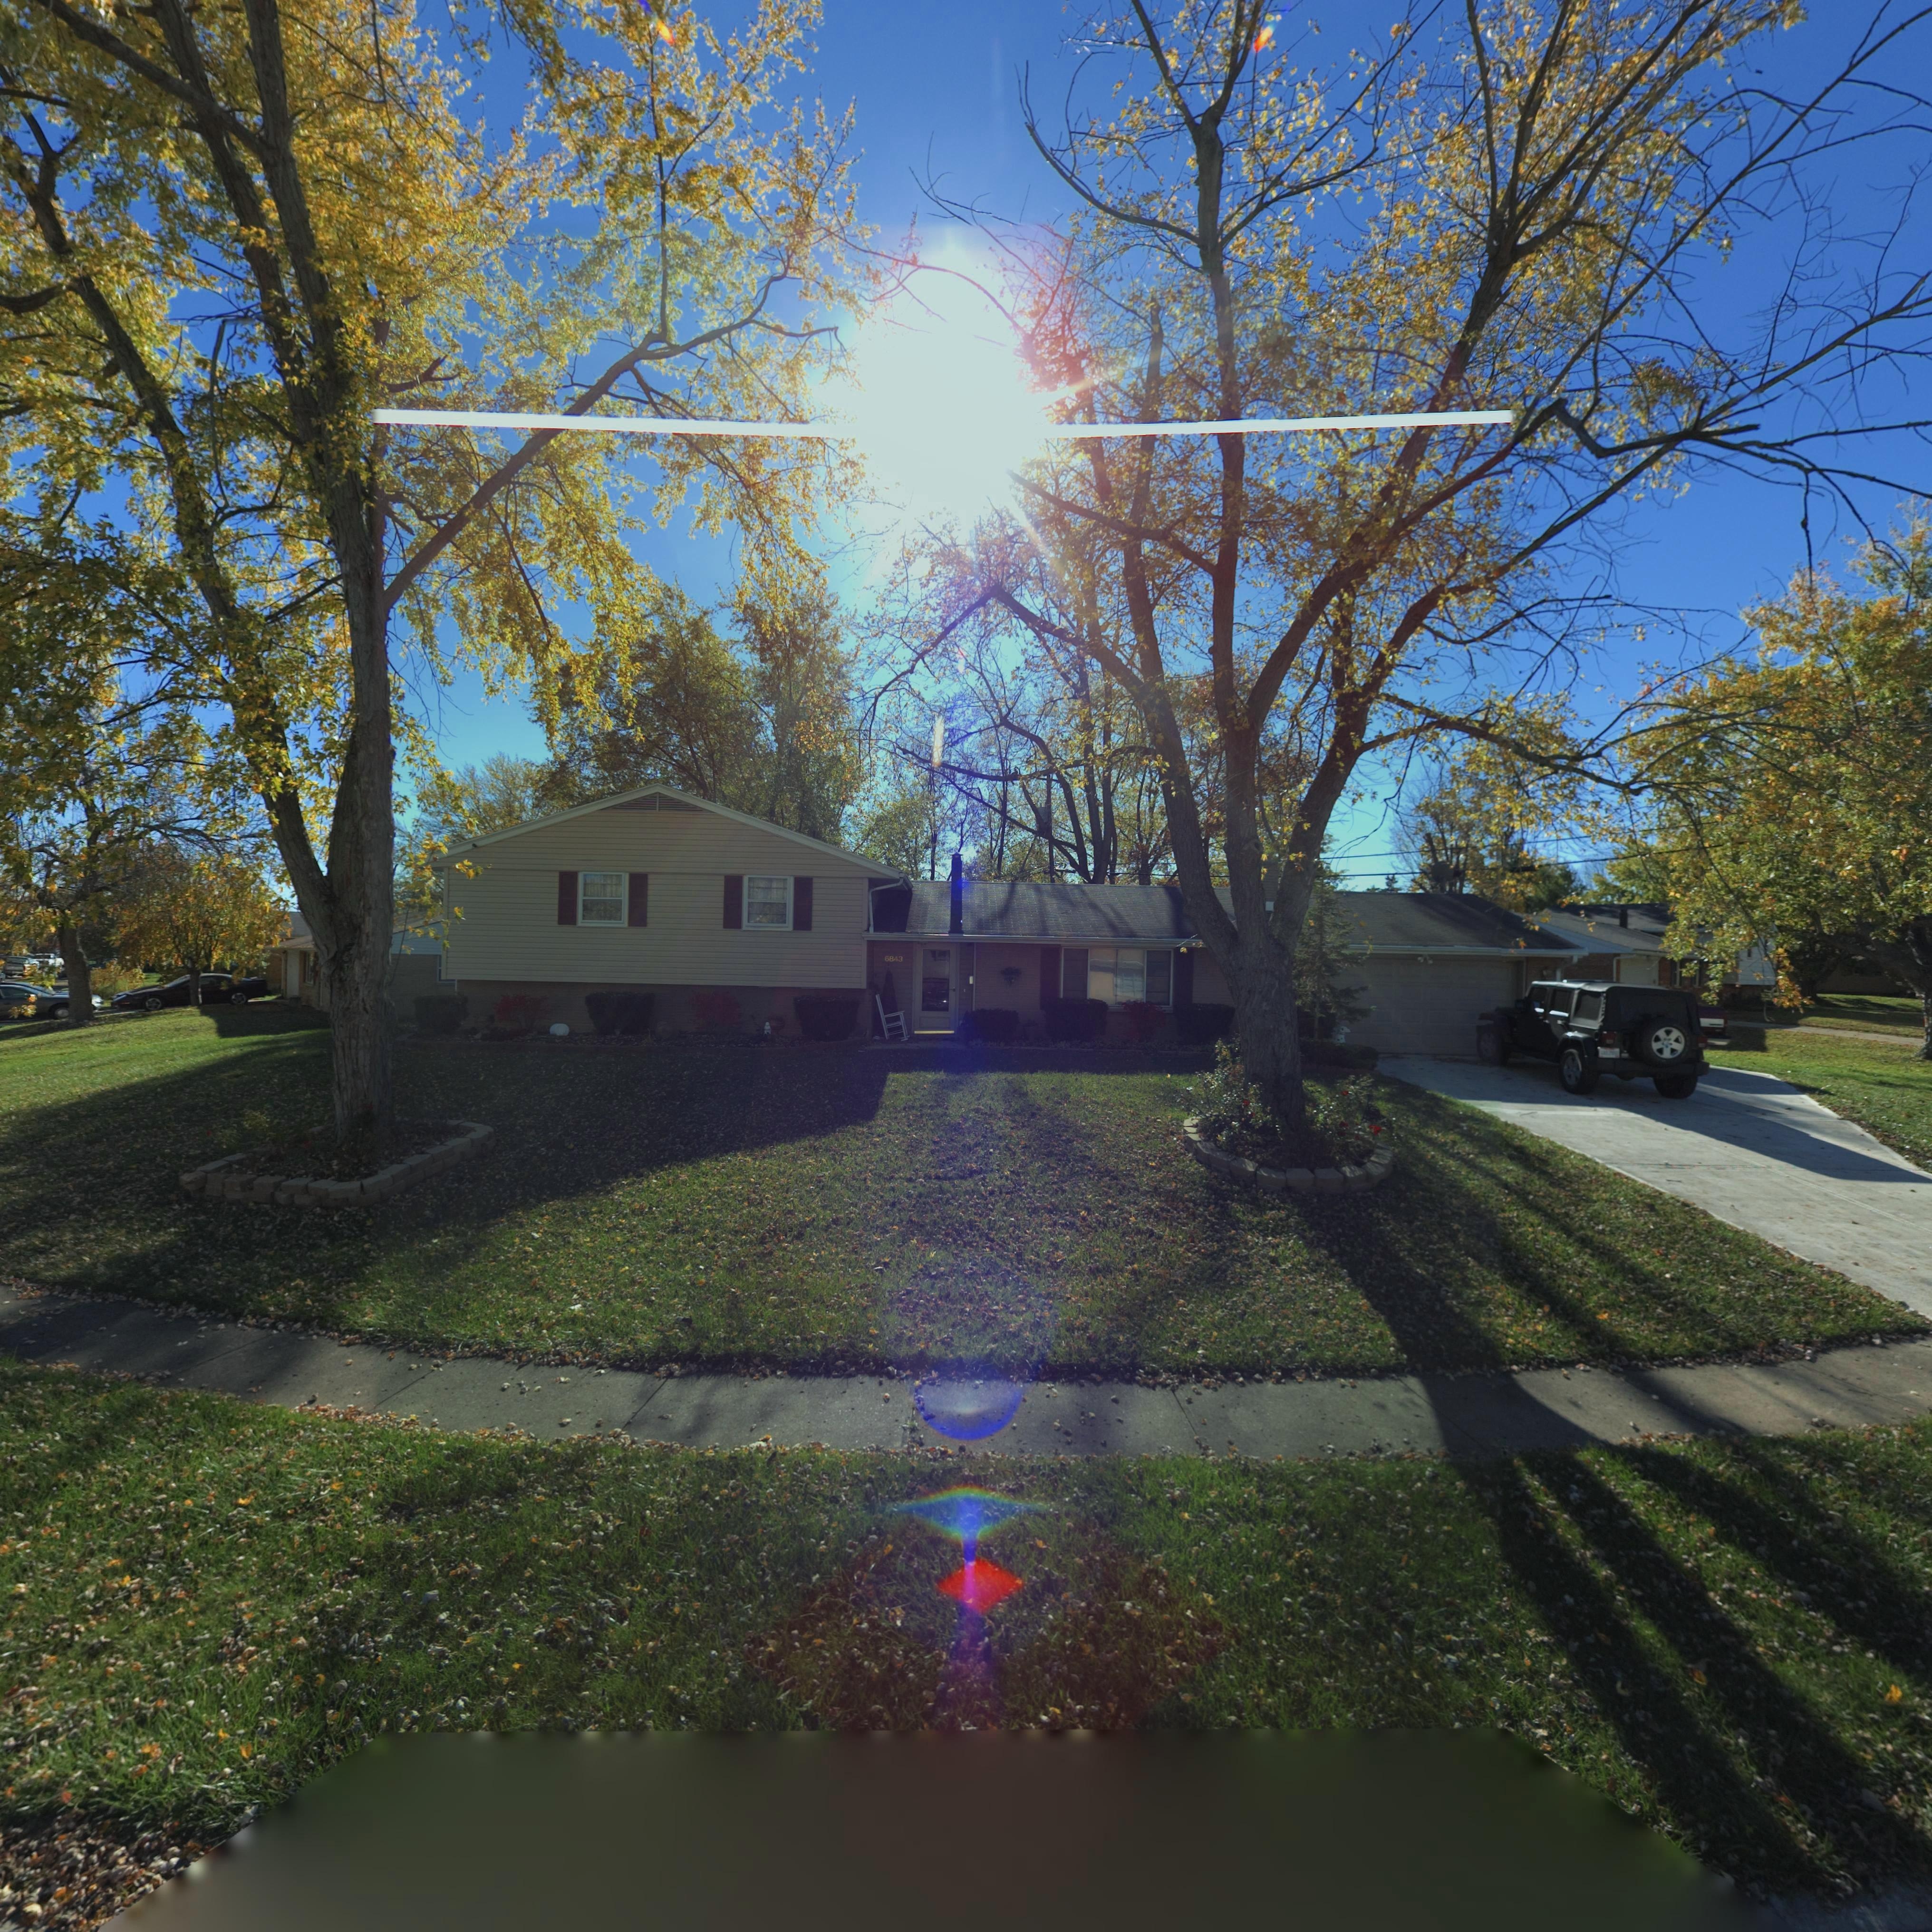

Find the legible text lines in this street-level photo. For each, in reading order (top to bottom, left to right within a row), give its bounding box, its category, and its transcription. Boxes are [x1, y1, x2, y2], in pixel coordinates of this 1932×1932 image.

[884, 955, 903, 962] StreetNumber: 6843